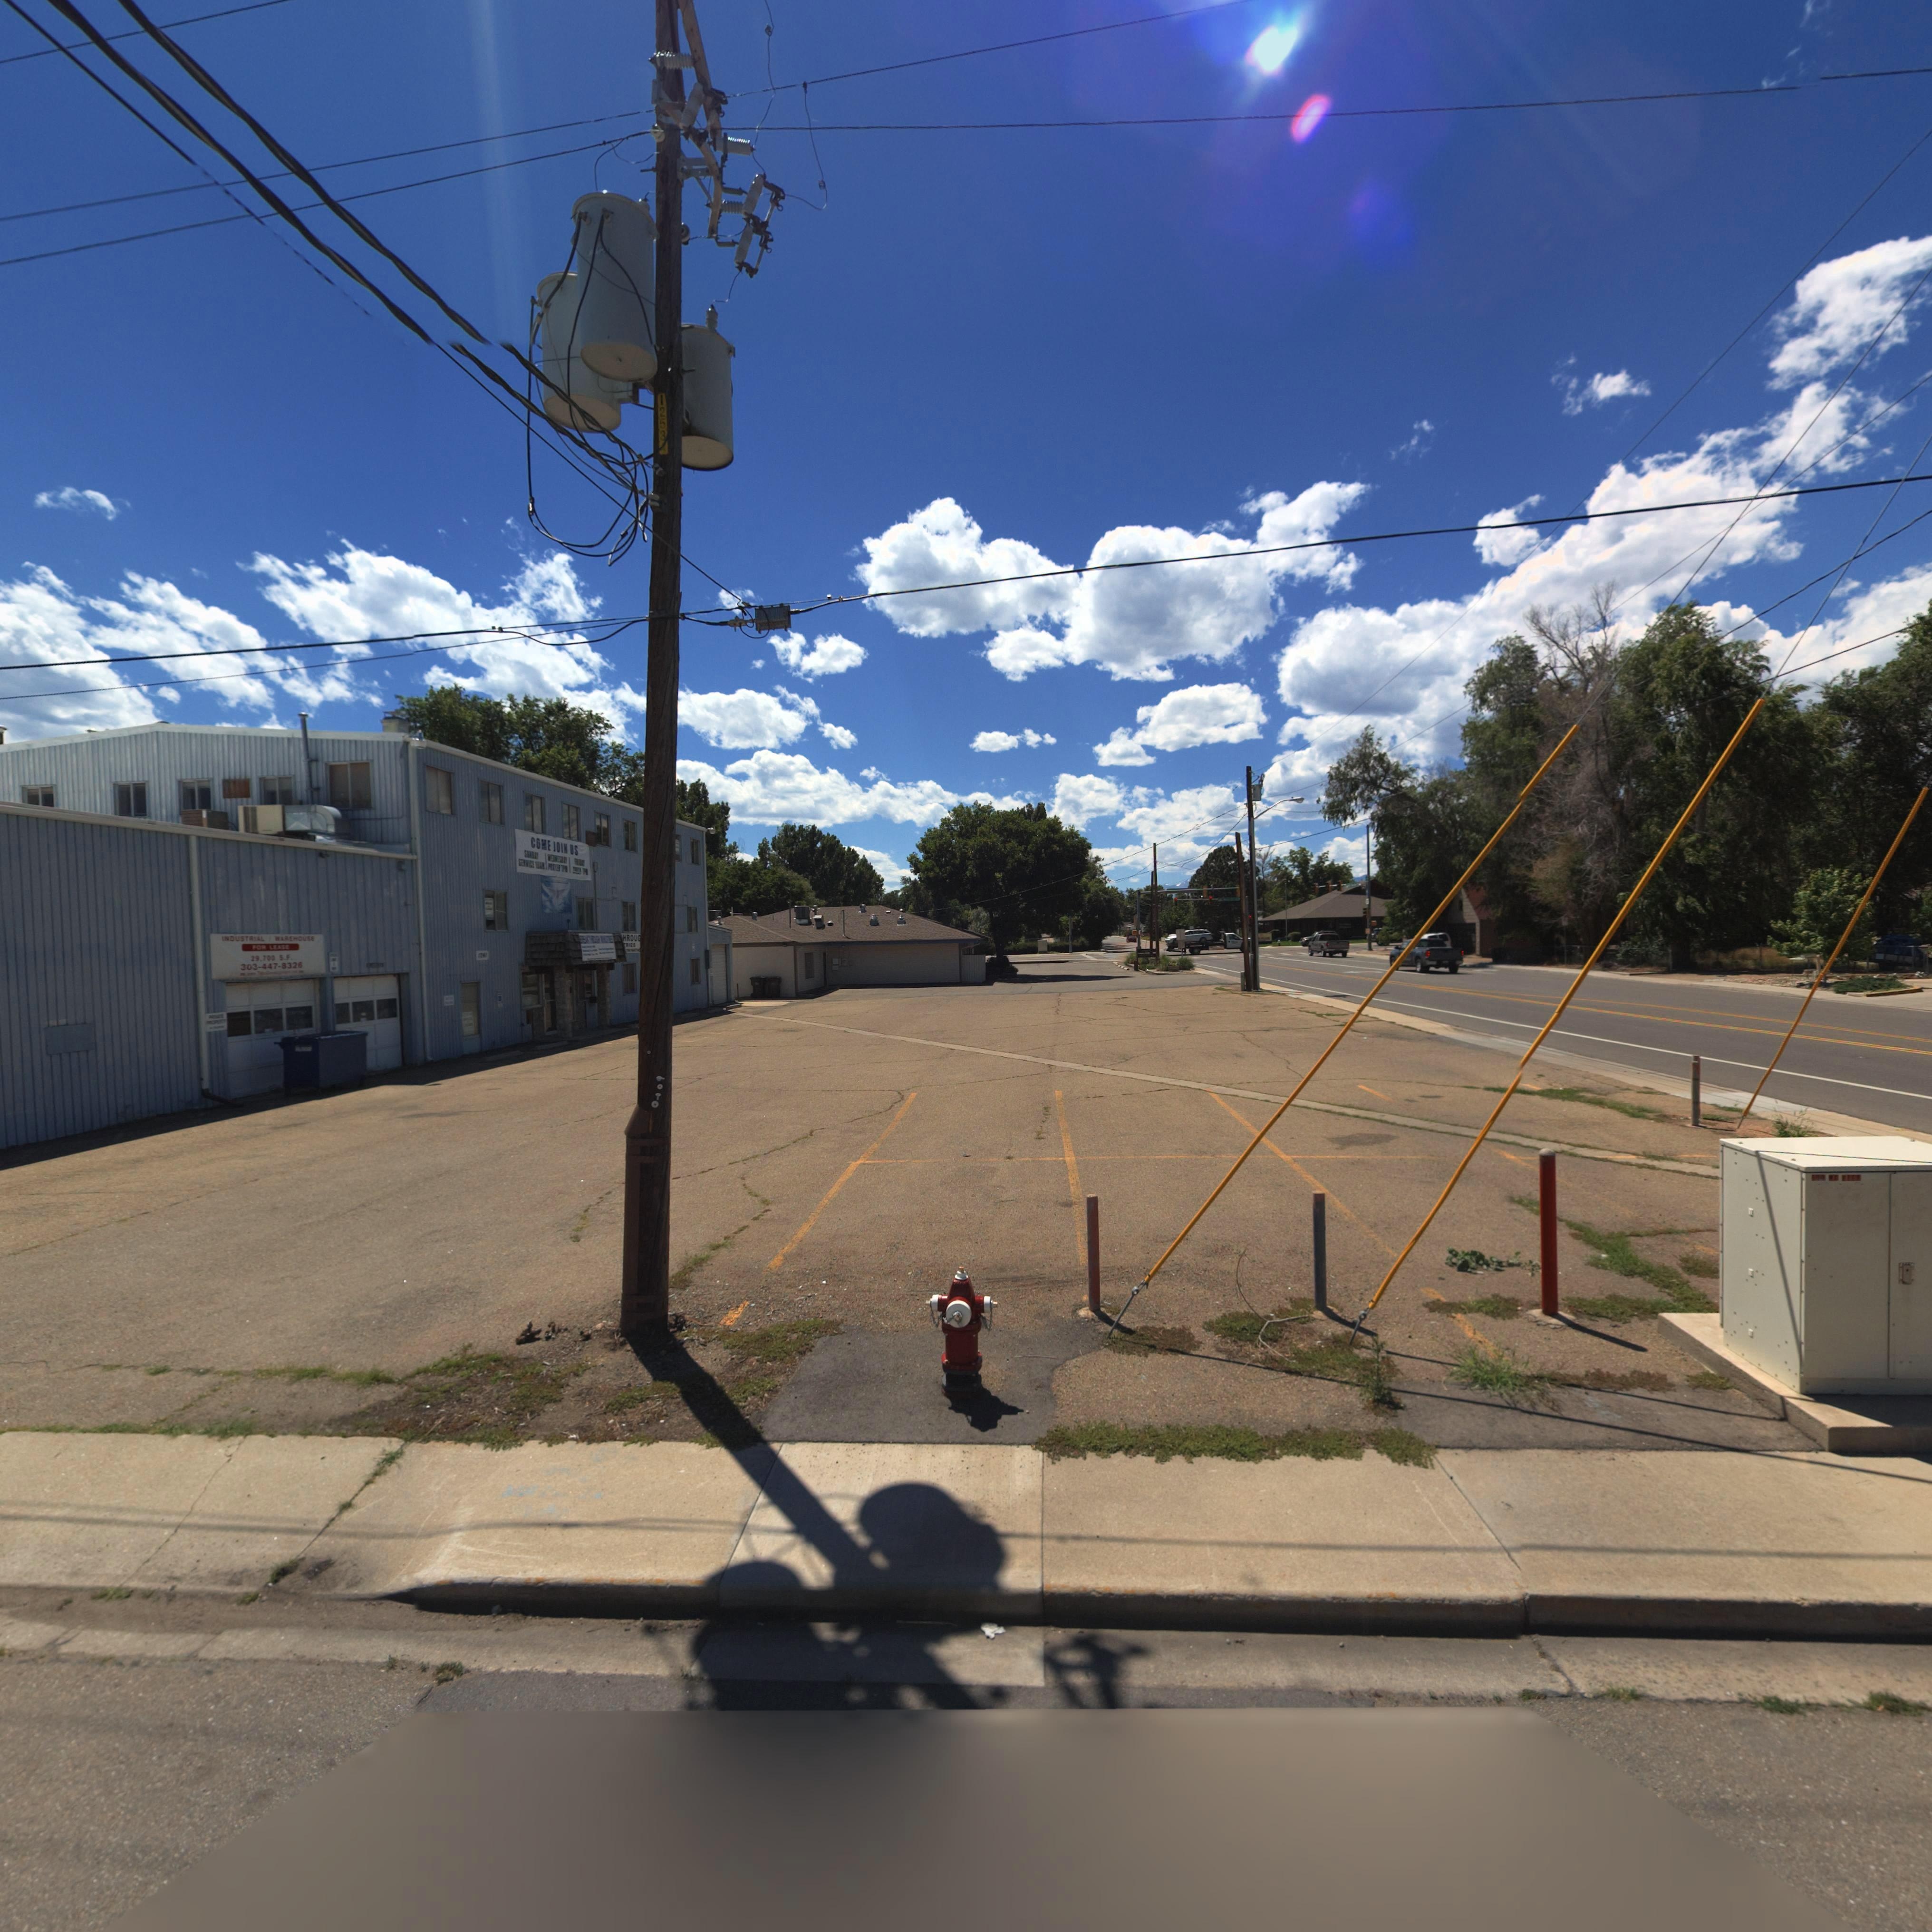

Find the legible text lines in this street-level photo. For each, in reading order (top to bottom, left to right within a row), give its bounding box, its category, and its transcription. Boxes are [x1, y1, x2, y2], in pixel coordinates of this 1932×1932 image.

[620, 934, 641, 942] BusinessName: HROU*